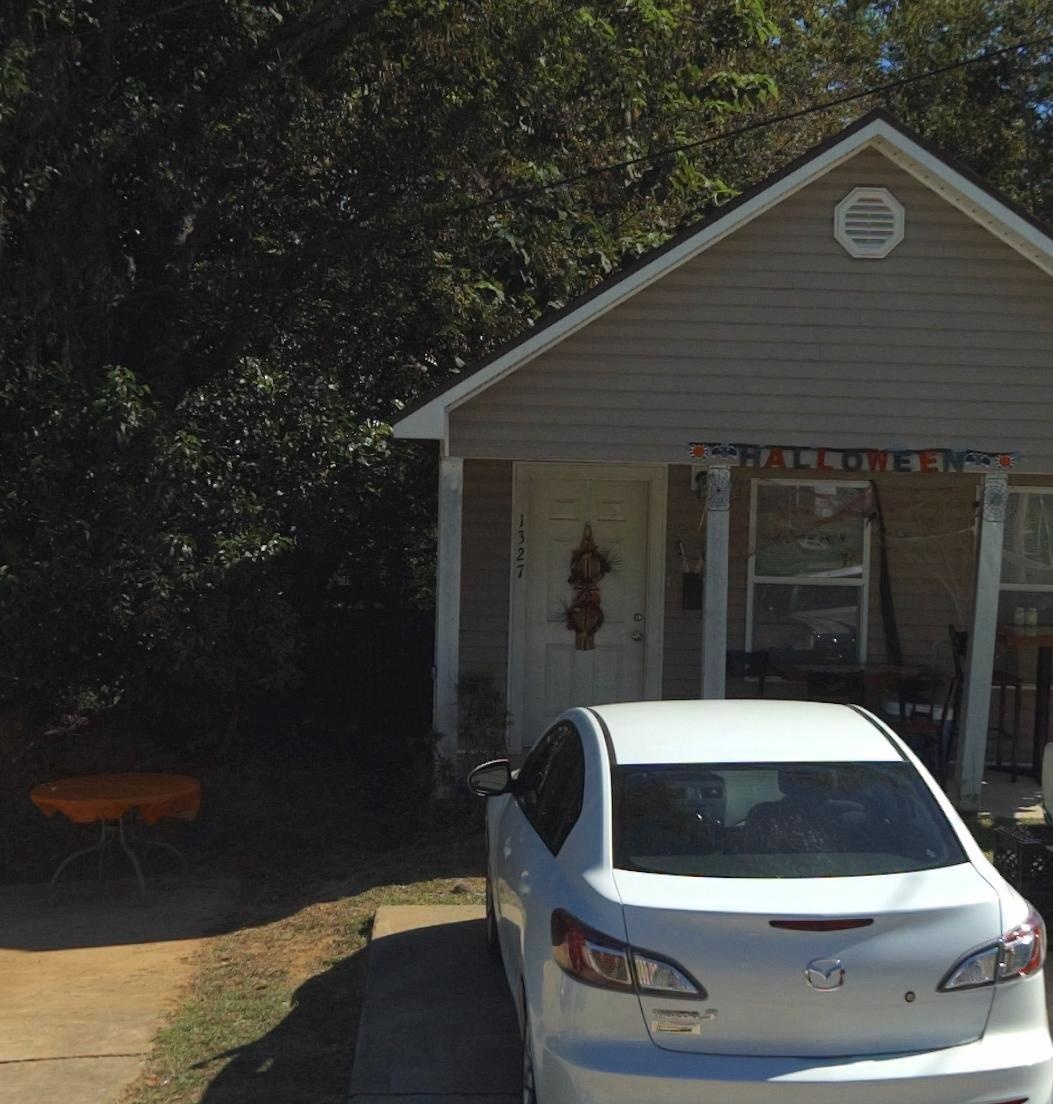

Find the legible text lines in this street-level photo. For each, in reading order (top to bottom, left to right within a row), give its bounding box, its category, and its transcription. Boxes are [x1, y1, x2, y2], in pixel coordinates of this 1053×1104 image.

[738, 443, 966, 474] None: HALLOWEEN
[515, 510, 527, 581] StreetNumber: 1327